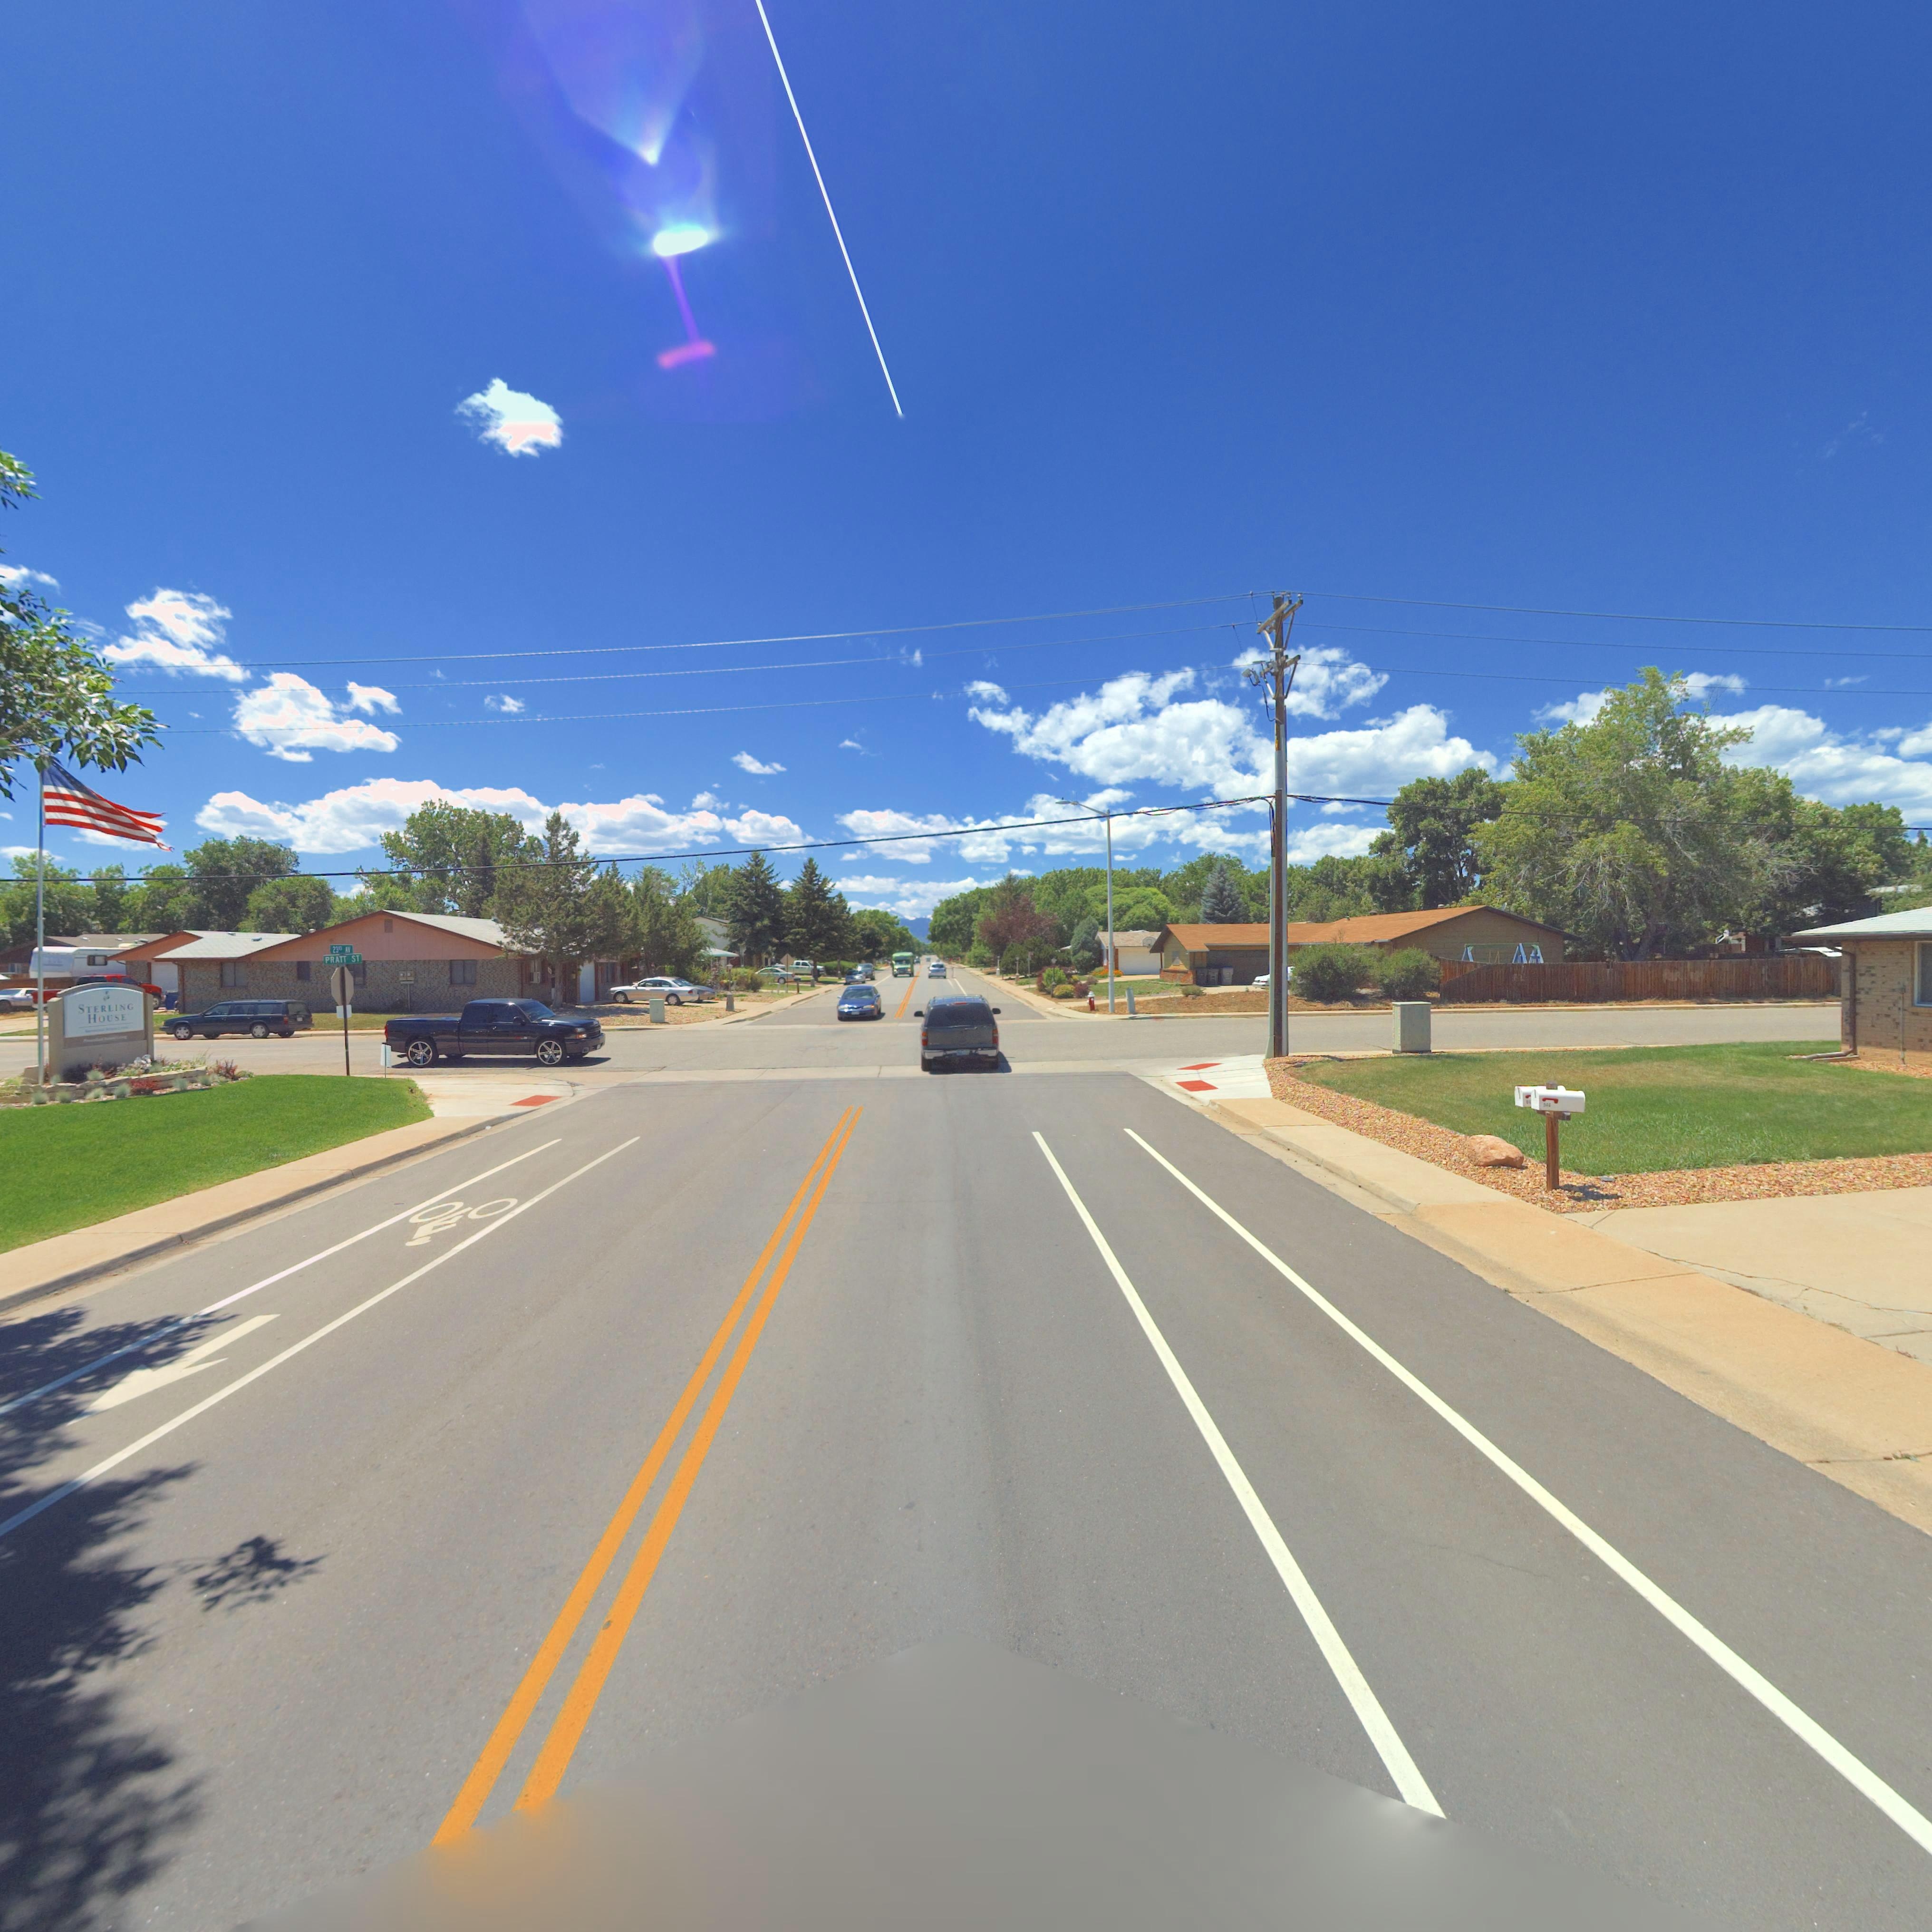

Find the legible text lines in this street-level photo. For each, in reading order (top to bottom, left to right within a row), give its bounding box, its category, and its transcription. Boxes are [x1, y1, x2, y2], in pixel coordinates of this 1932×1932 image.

[332, 946, 350, 953] StreetName: 23*D AV
[324, 955, 360, 963] StreetName: PRATT ST
[77, 1002, 135, 1014] BusinessName: STERLING
[87, 1013, 127, 1024] BusinessName: HOUSE
[1526, 1100, 1528, 1104] StreetNumber: 9
[1543, 1102, 1551, 1107] StreetNumber: 946